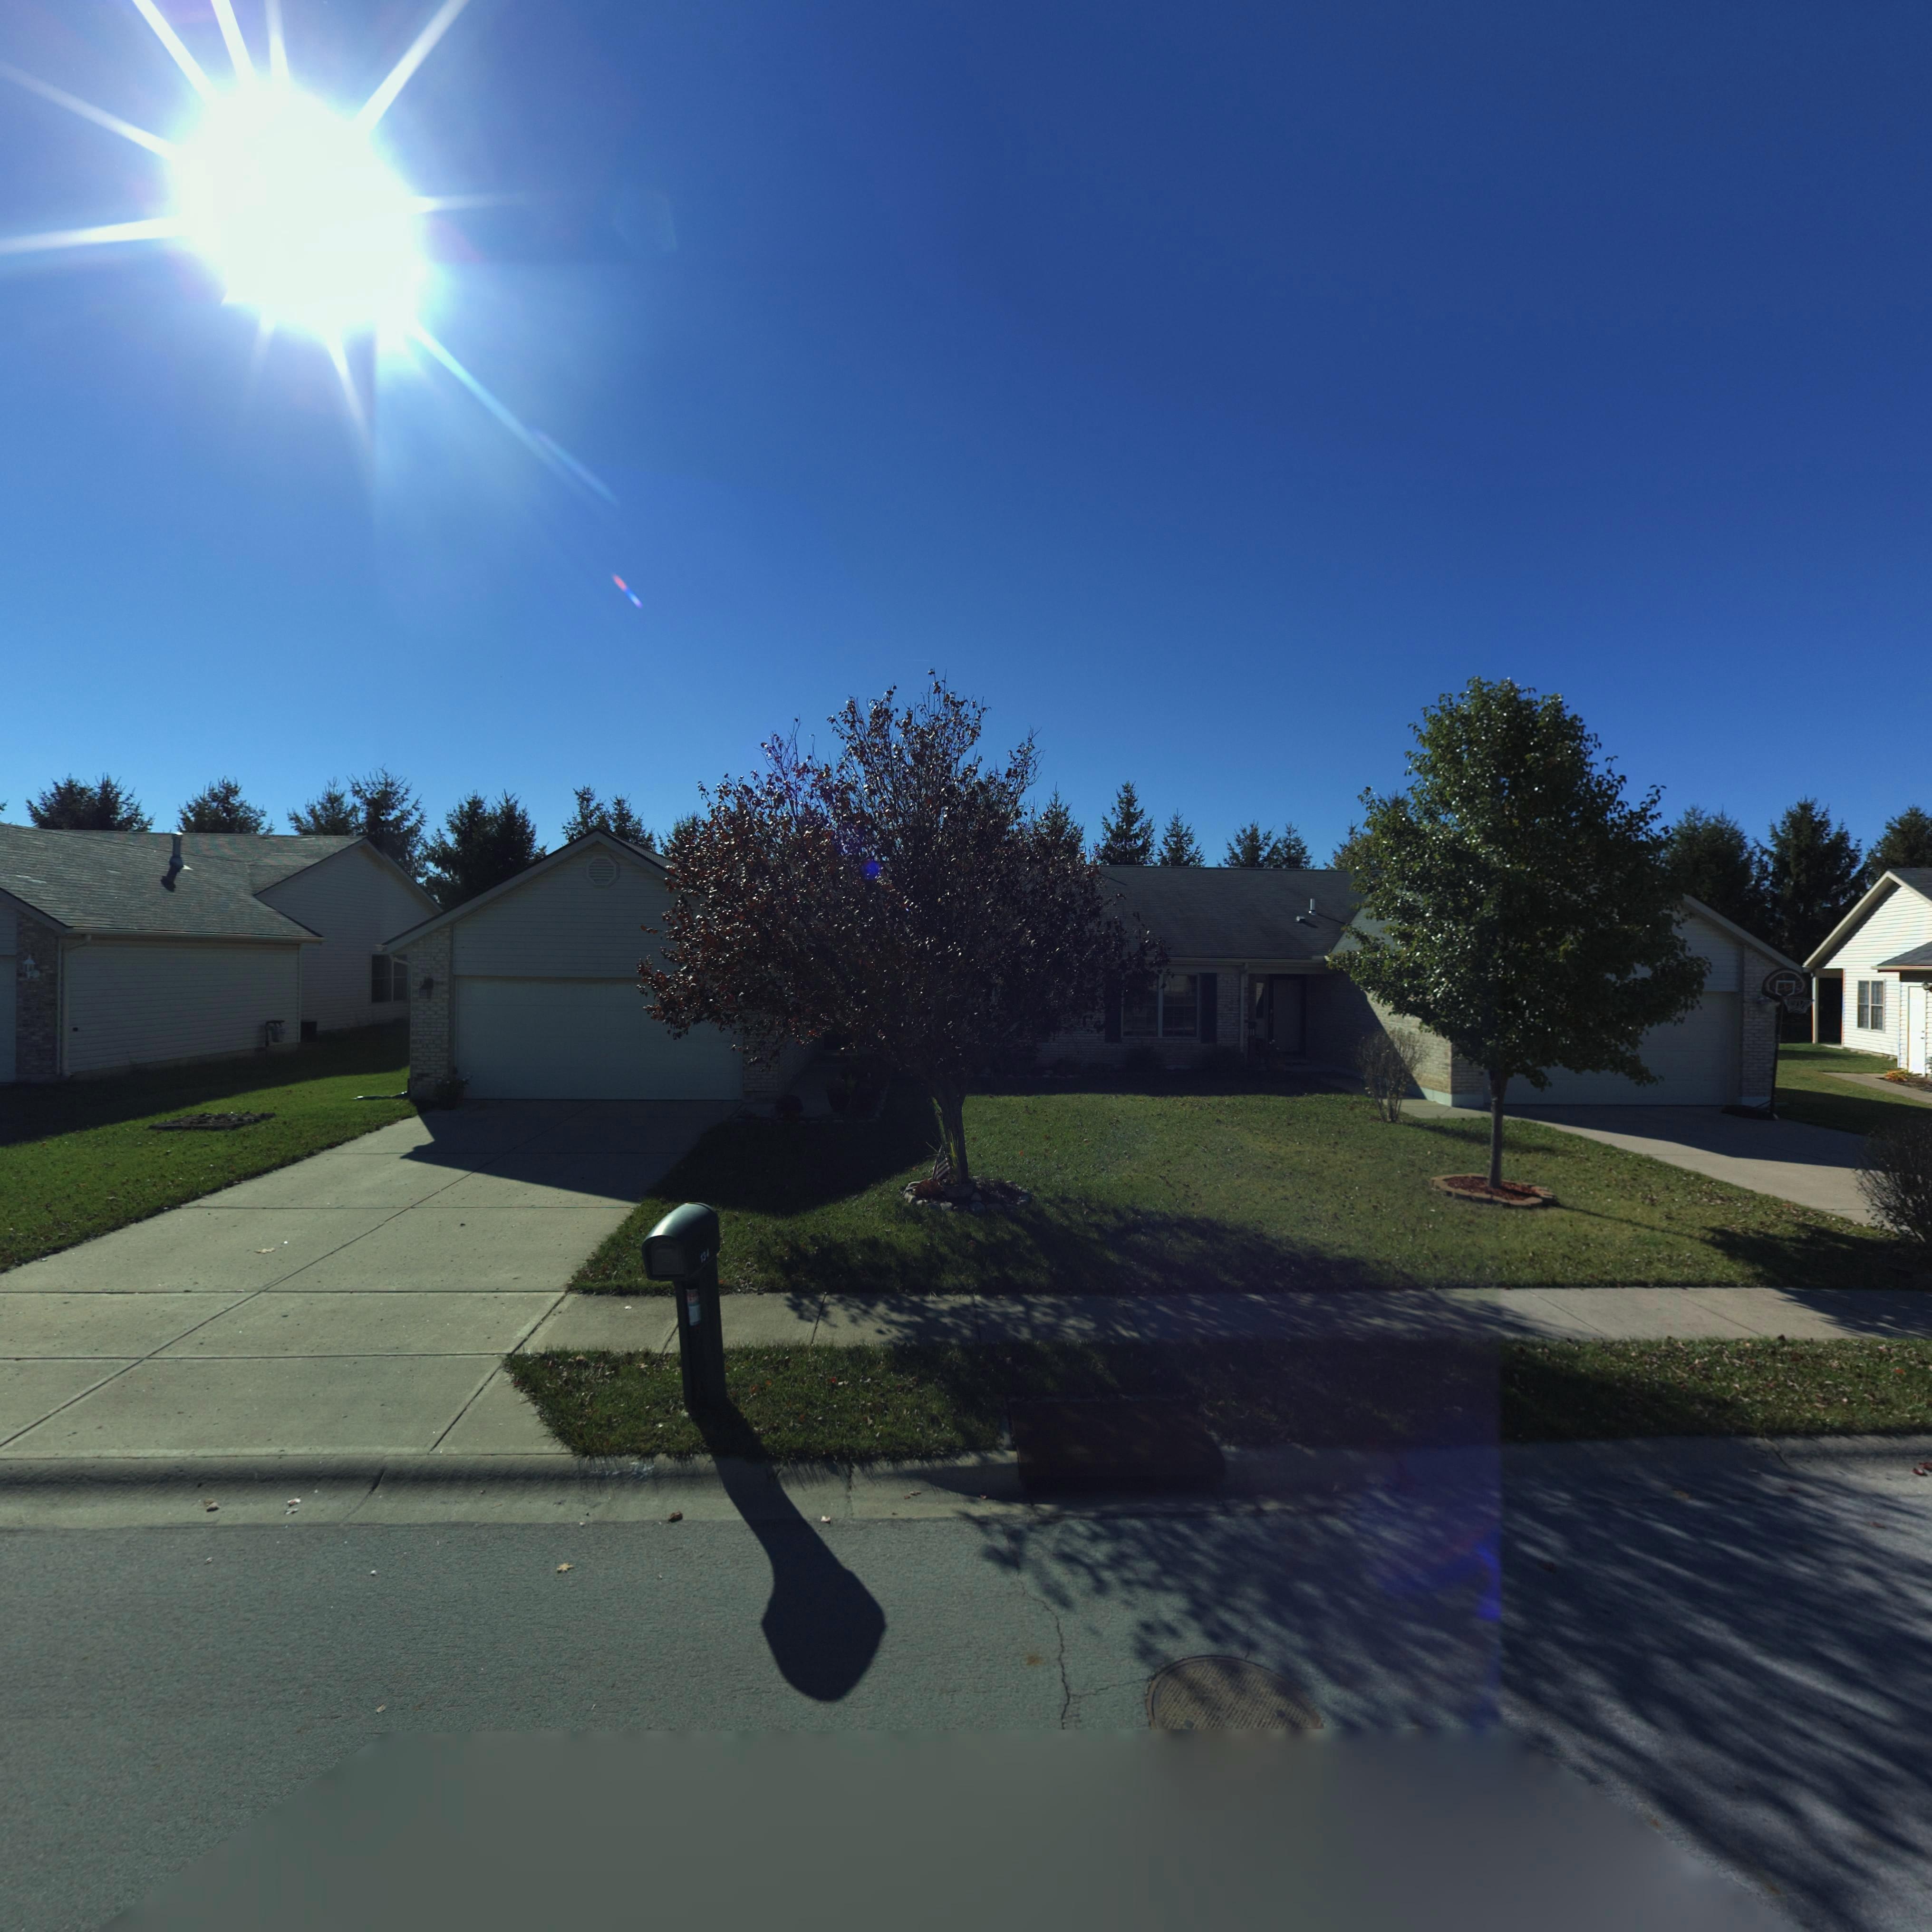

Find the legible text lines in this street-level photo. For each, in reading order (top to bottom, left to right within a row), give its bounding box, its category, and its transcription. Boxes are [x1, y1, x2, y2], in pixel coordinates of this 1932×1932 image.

[700, 1246, 710, 1265] StreetNumber: 134